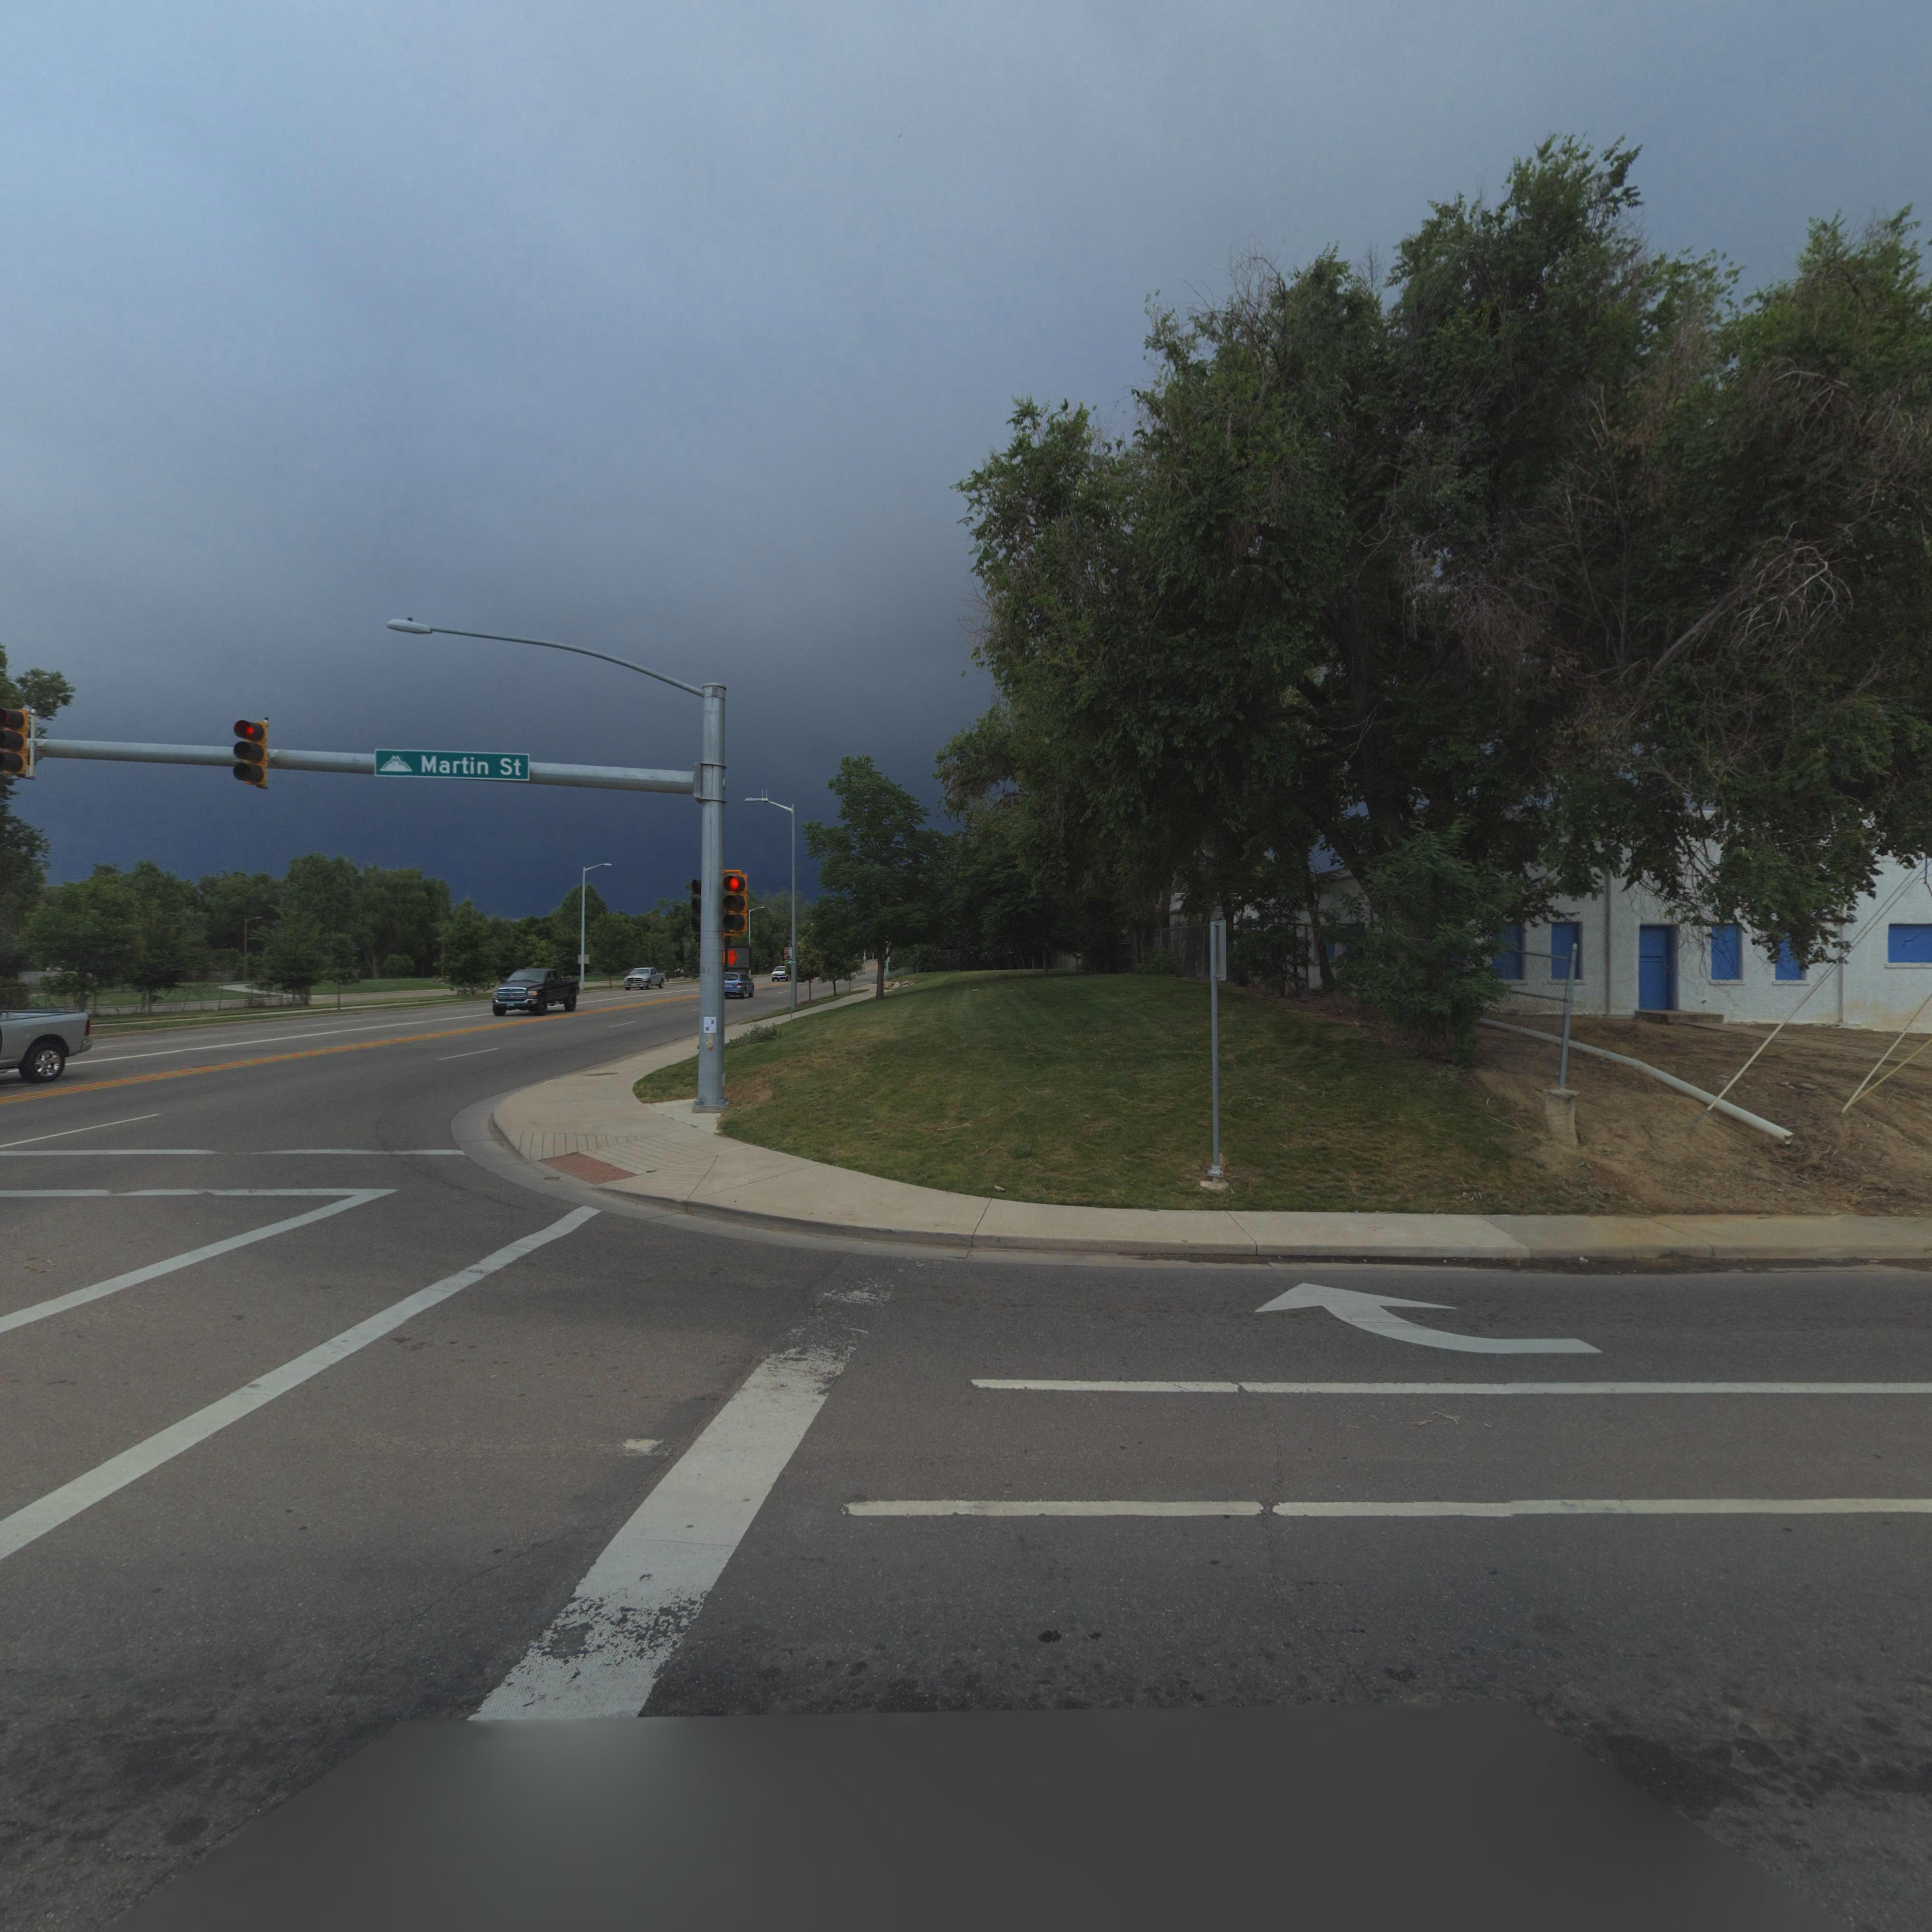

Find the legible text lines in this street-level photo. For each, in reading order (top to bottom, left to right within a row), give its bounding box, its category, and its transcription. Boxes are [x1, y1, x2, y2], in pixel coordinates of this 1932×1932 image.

[420, 754, 522, 776] StreetName: Martin St